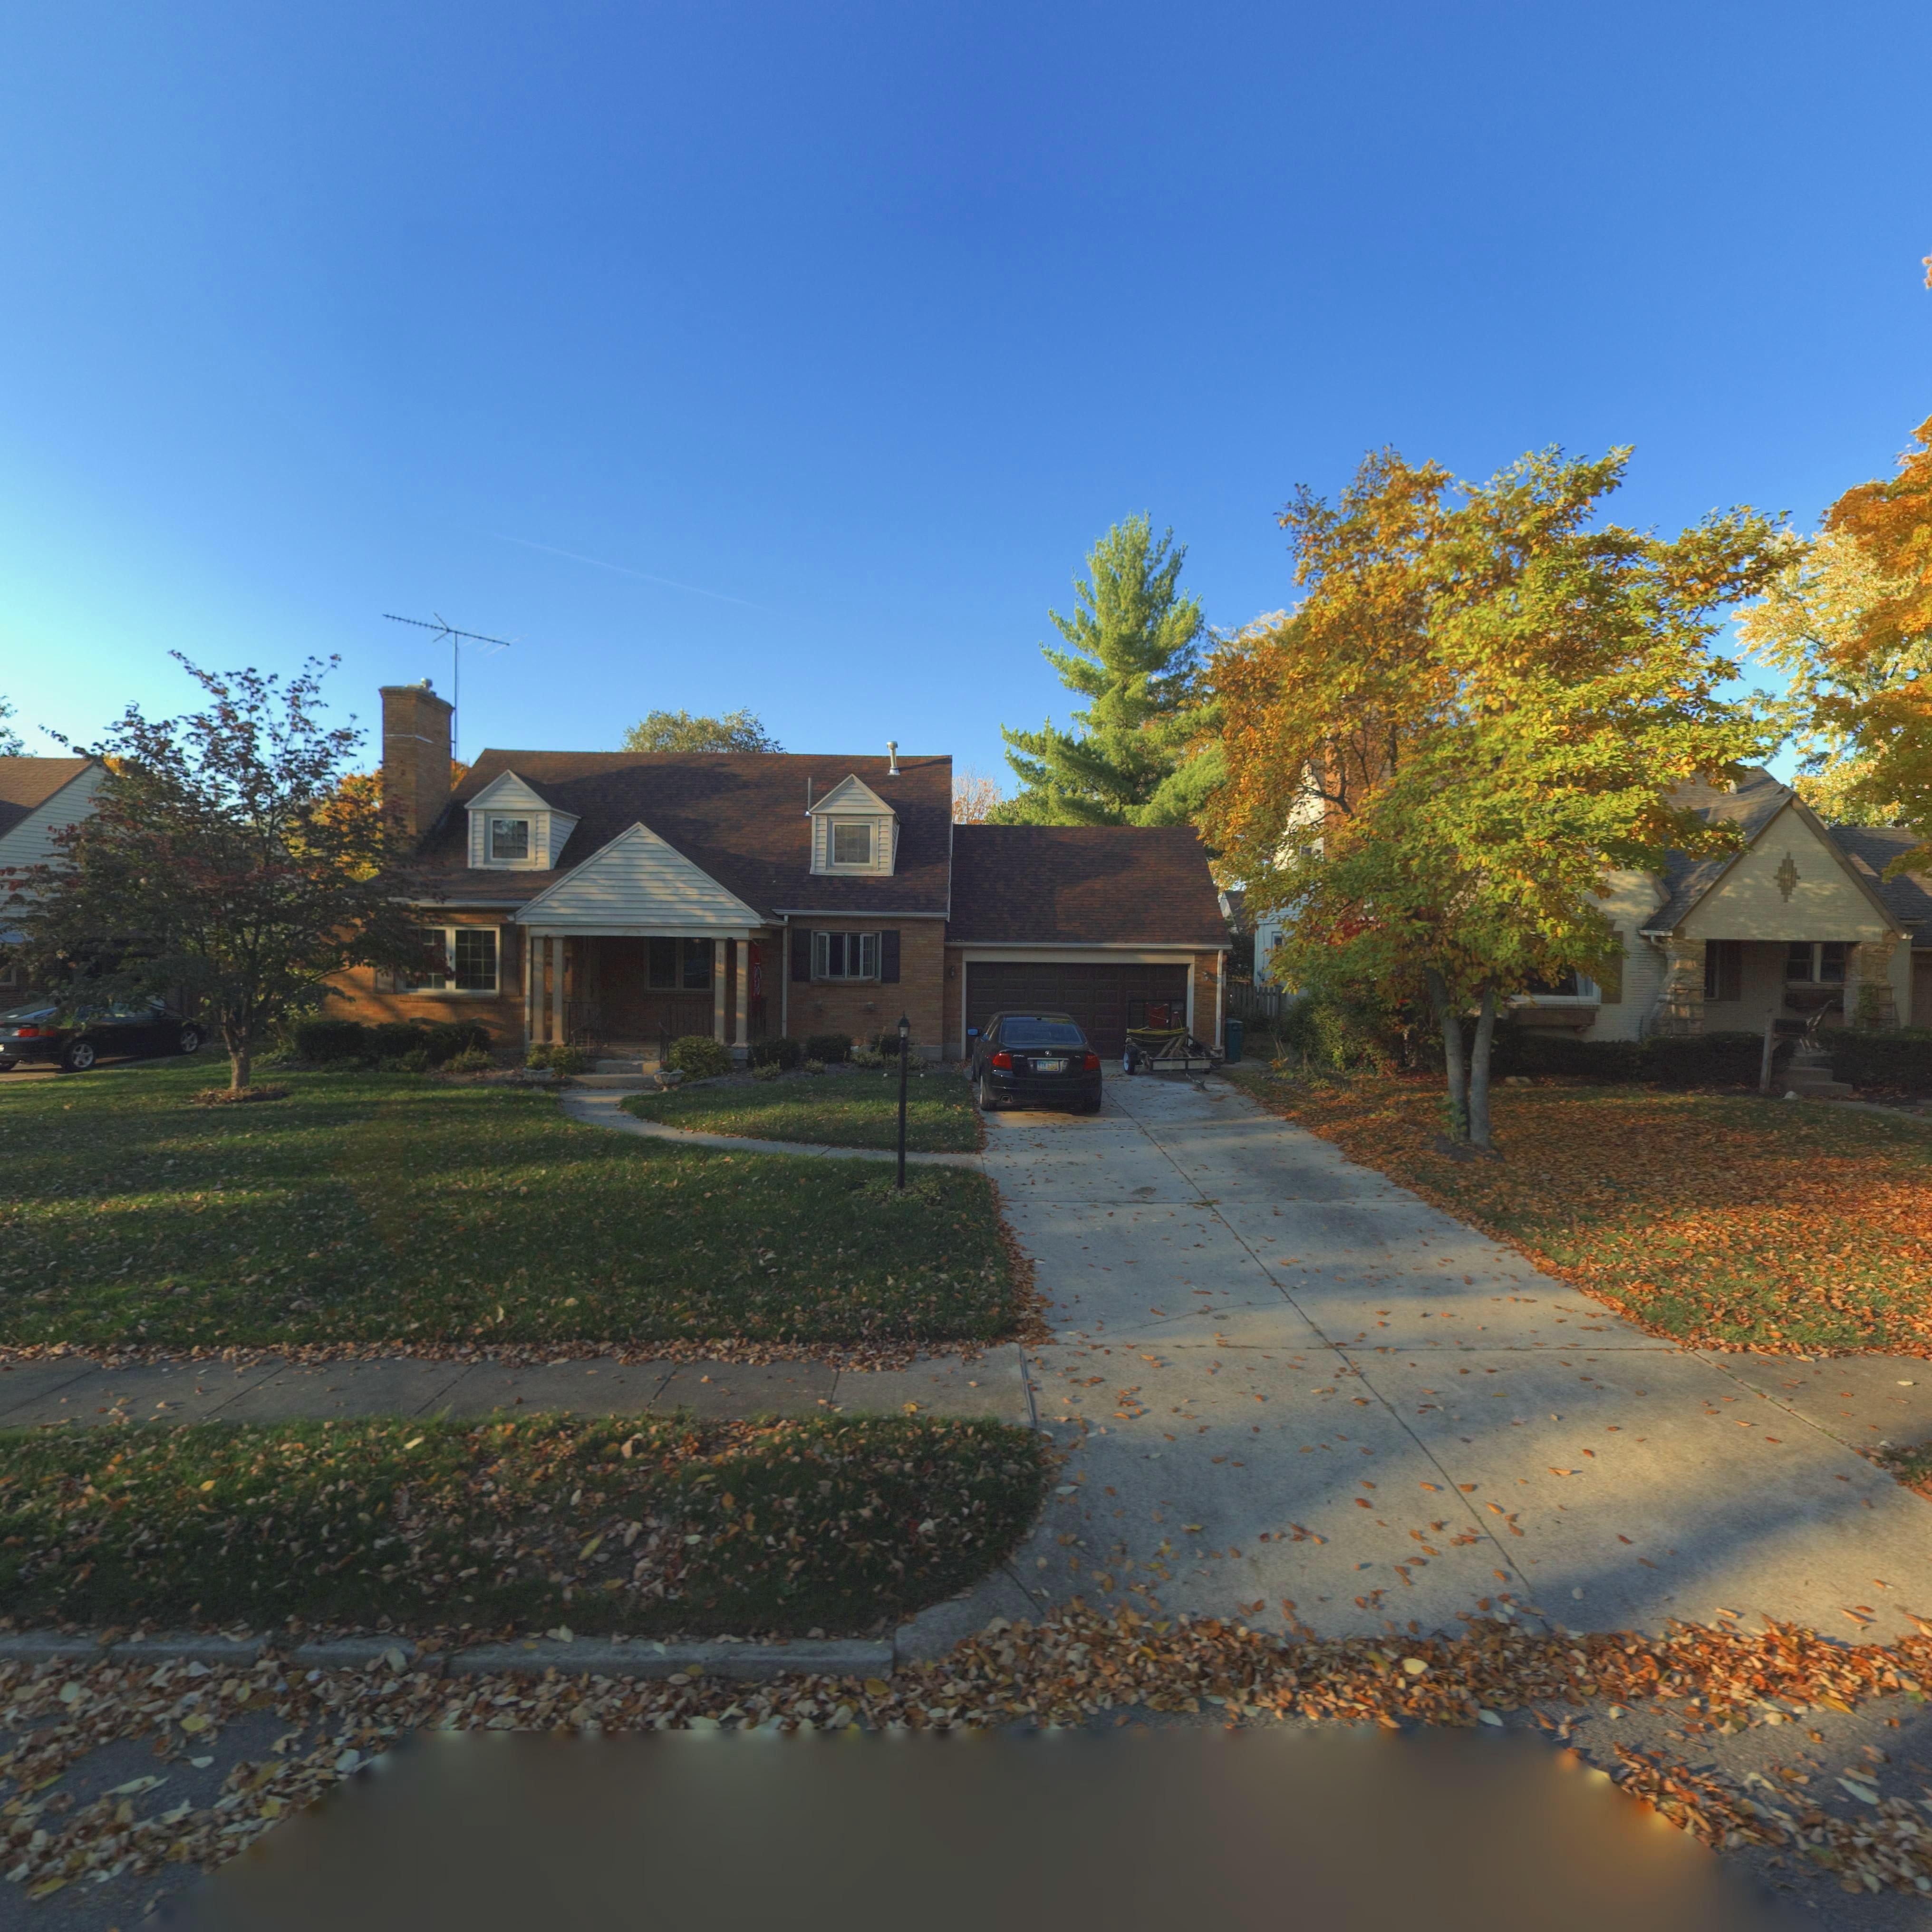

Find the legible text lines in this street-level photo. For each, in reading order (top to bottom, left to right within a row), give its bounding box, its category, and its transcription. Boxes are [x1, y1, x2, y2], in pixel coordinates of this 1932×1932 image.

[717, 951, 722, 973] StreetNumber: 1*7